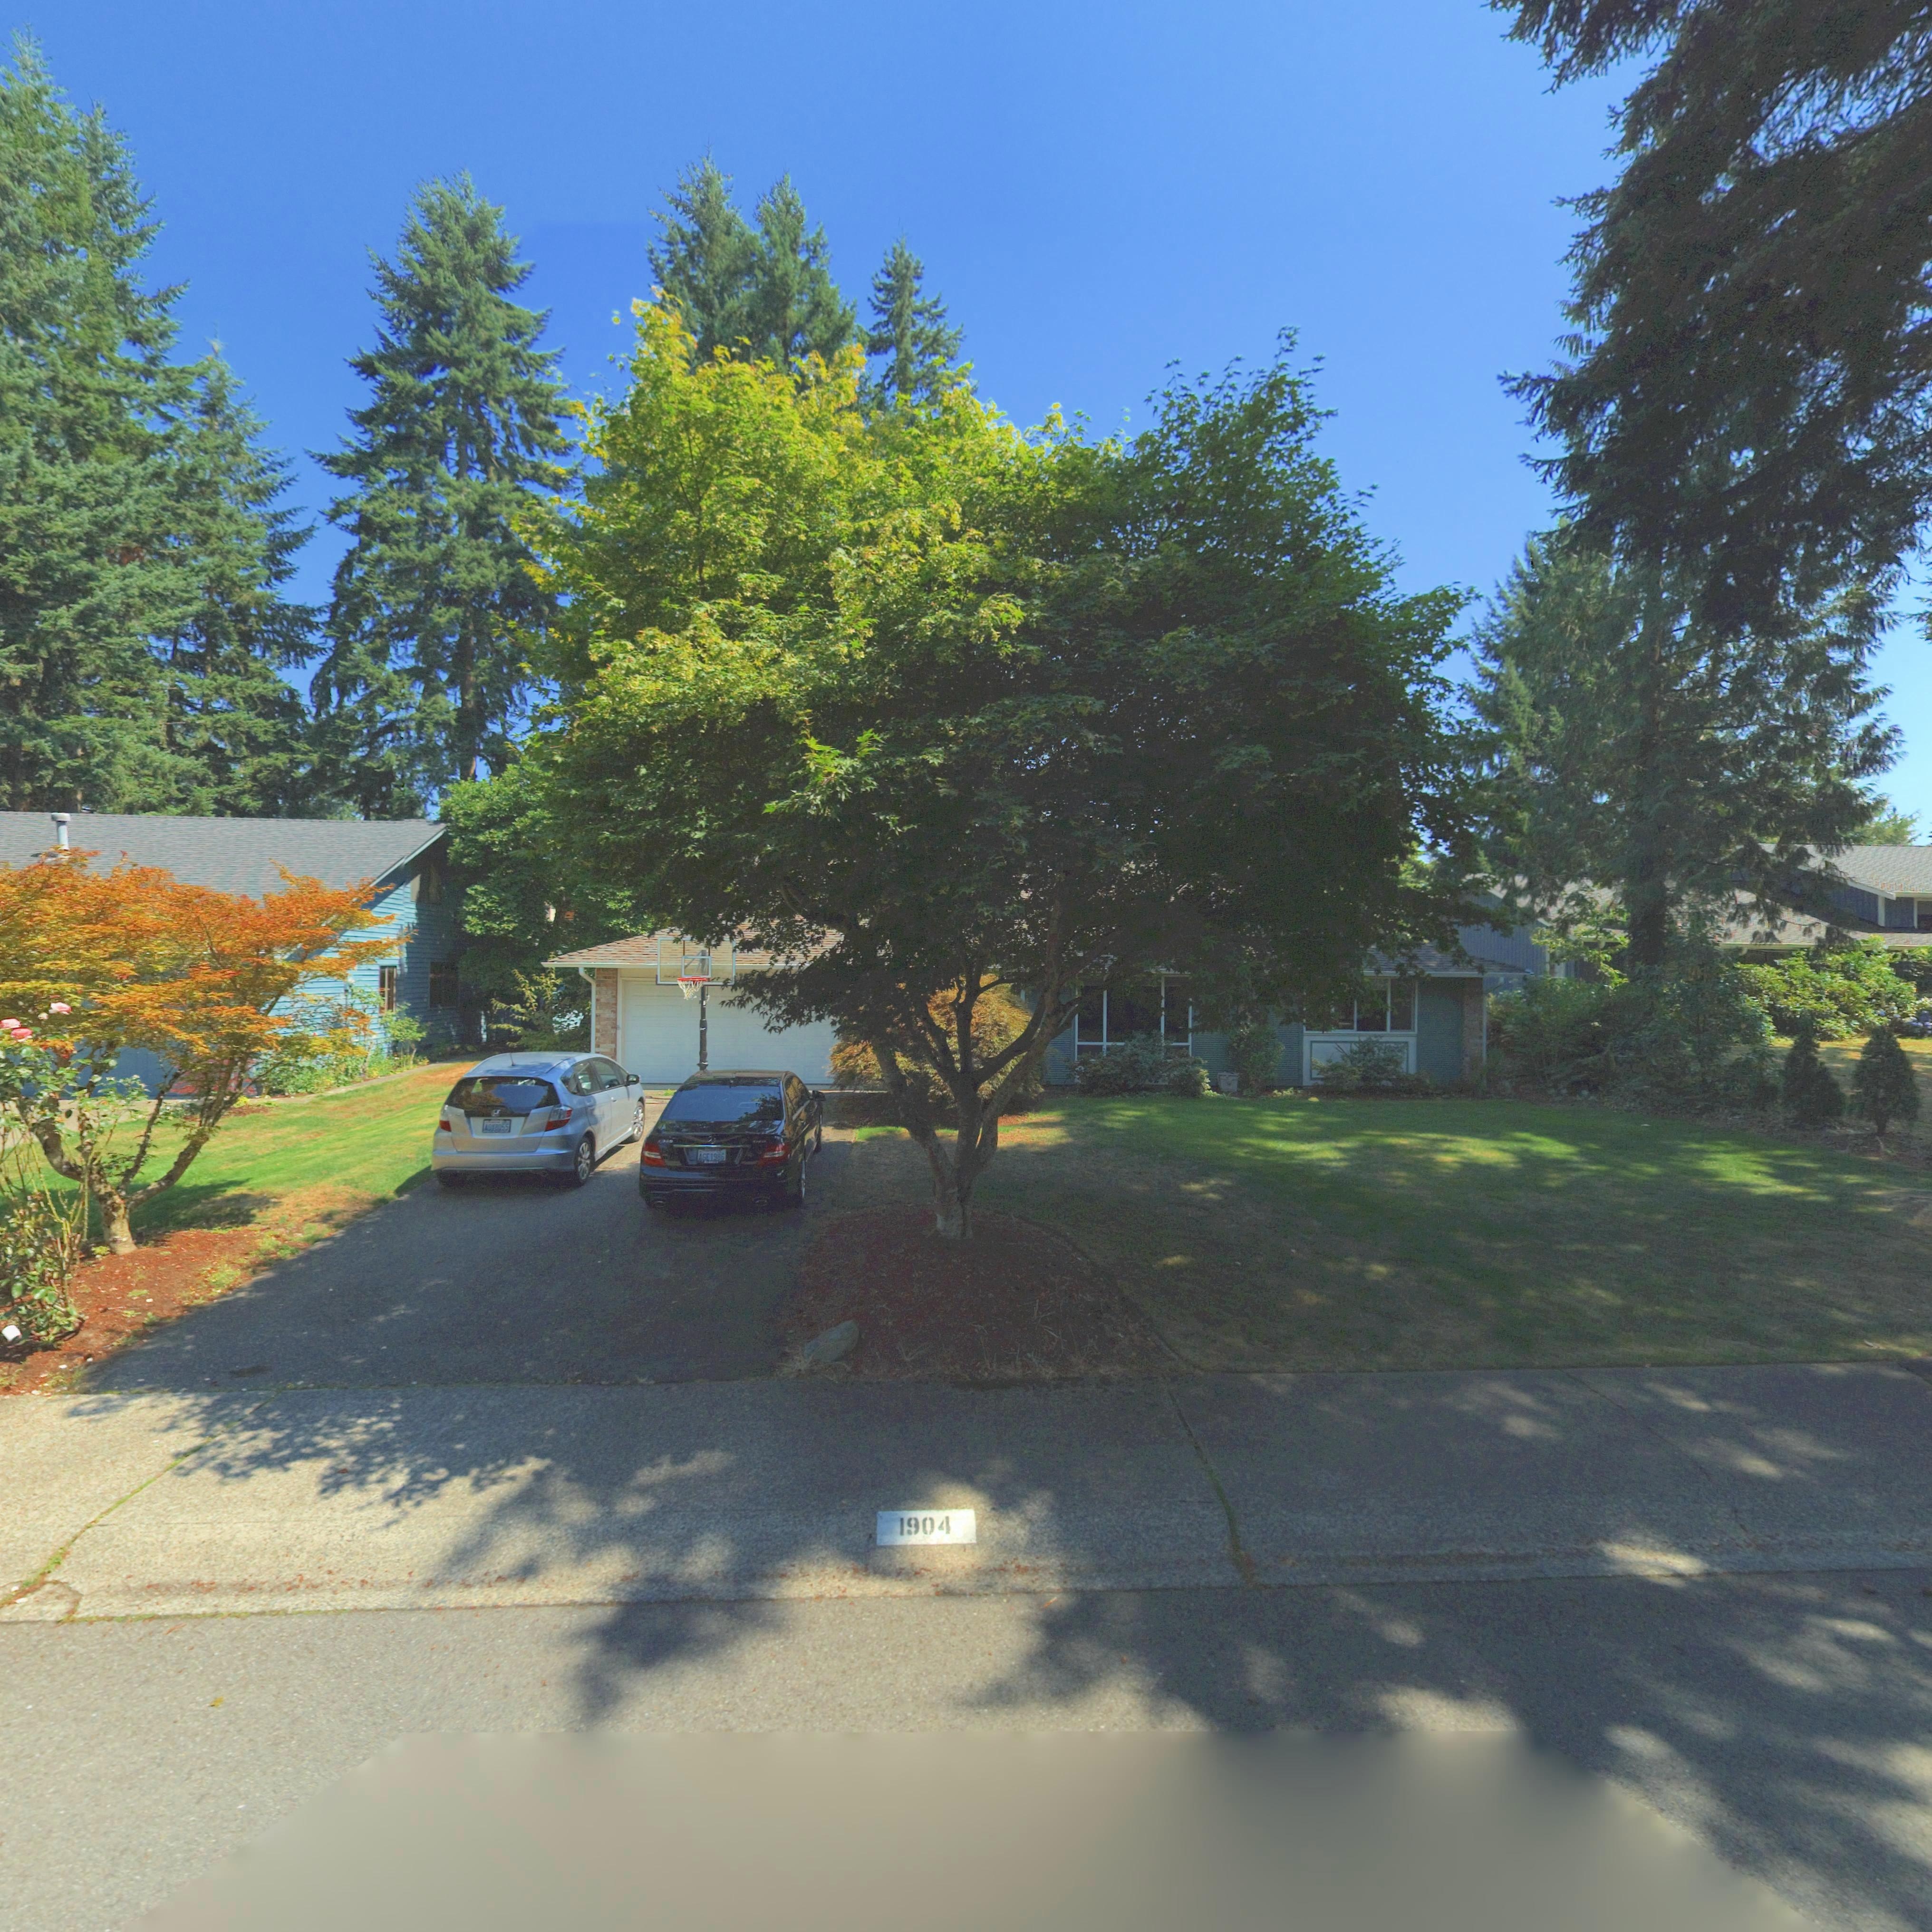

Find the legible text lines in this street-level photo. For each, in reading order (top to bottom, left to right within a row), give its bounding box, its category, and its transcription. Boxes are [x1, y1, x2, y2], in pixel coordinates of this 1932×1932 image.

[898, 1516, 951, 1535] StreetNumber: 1904